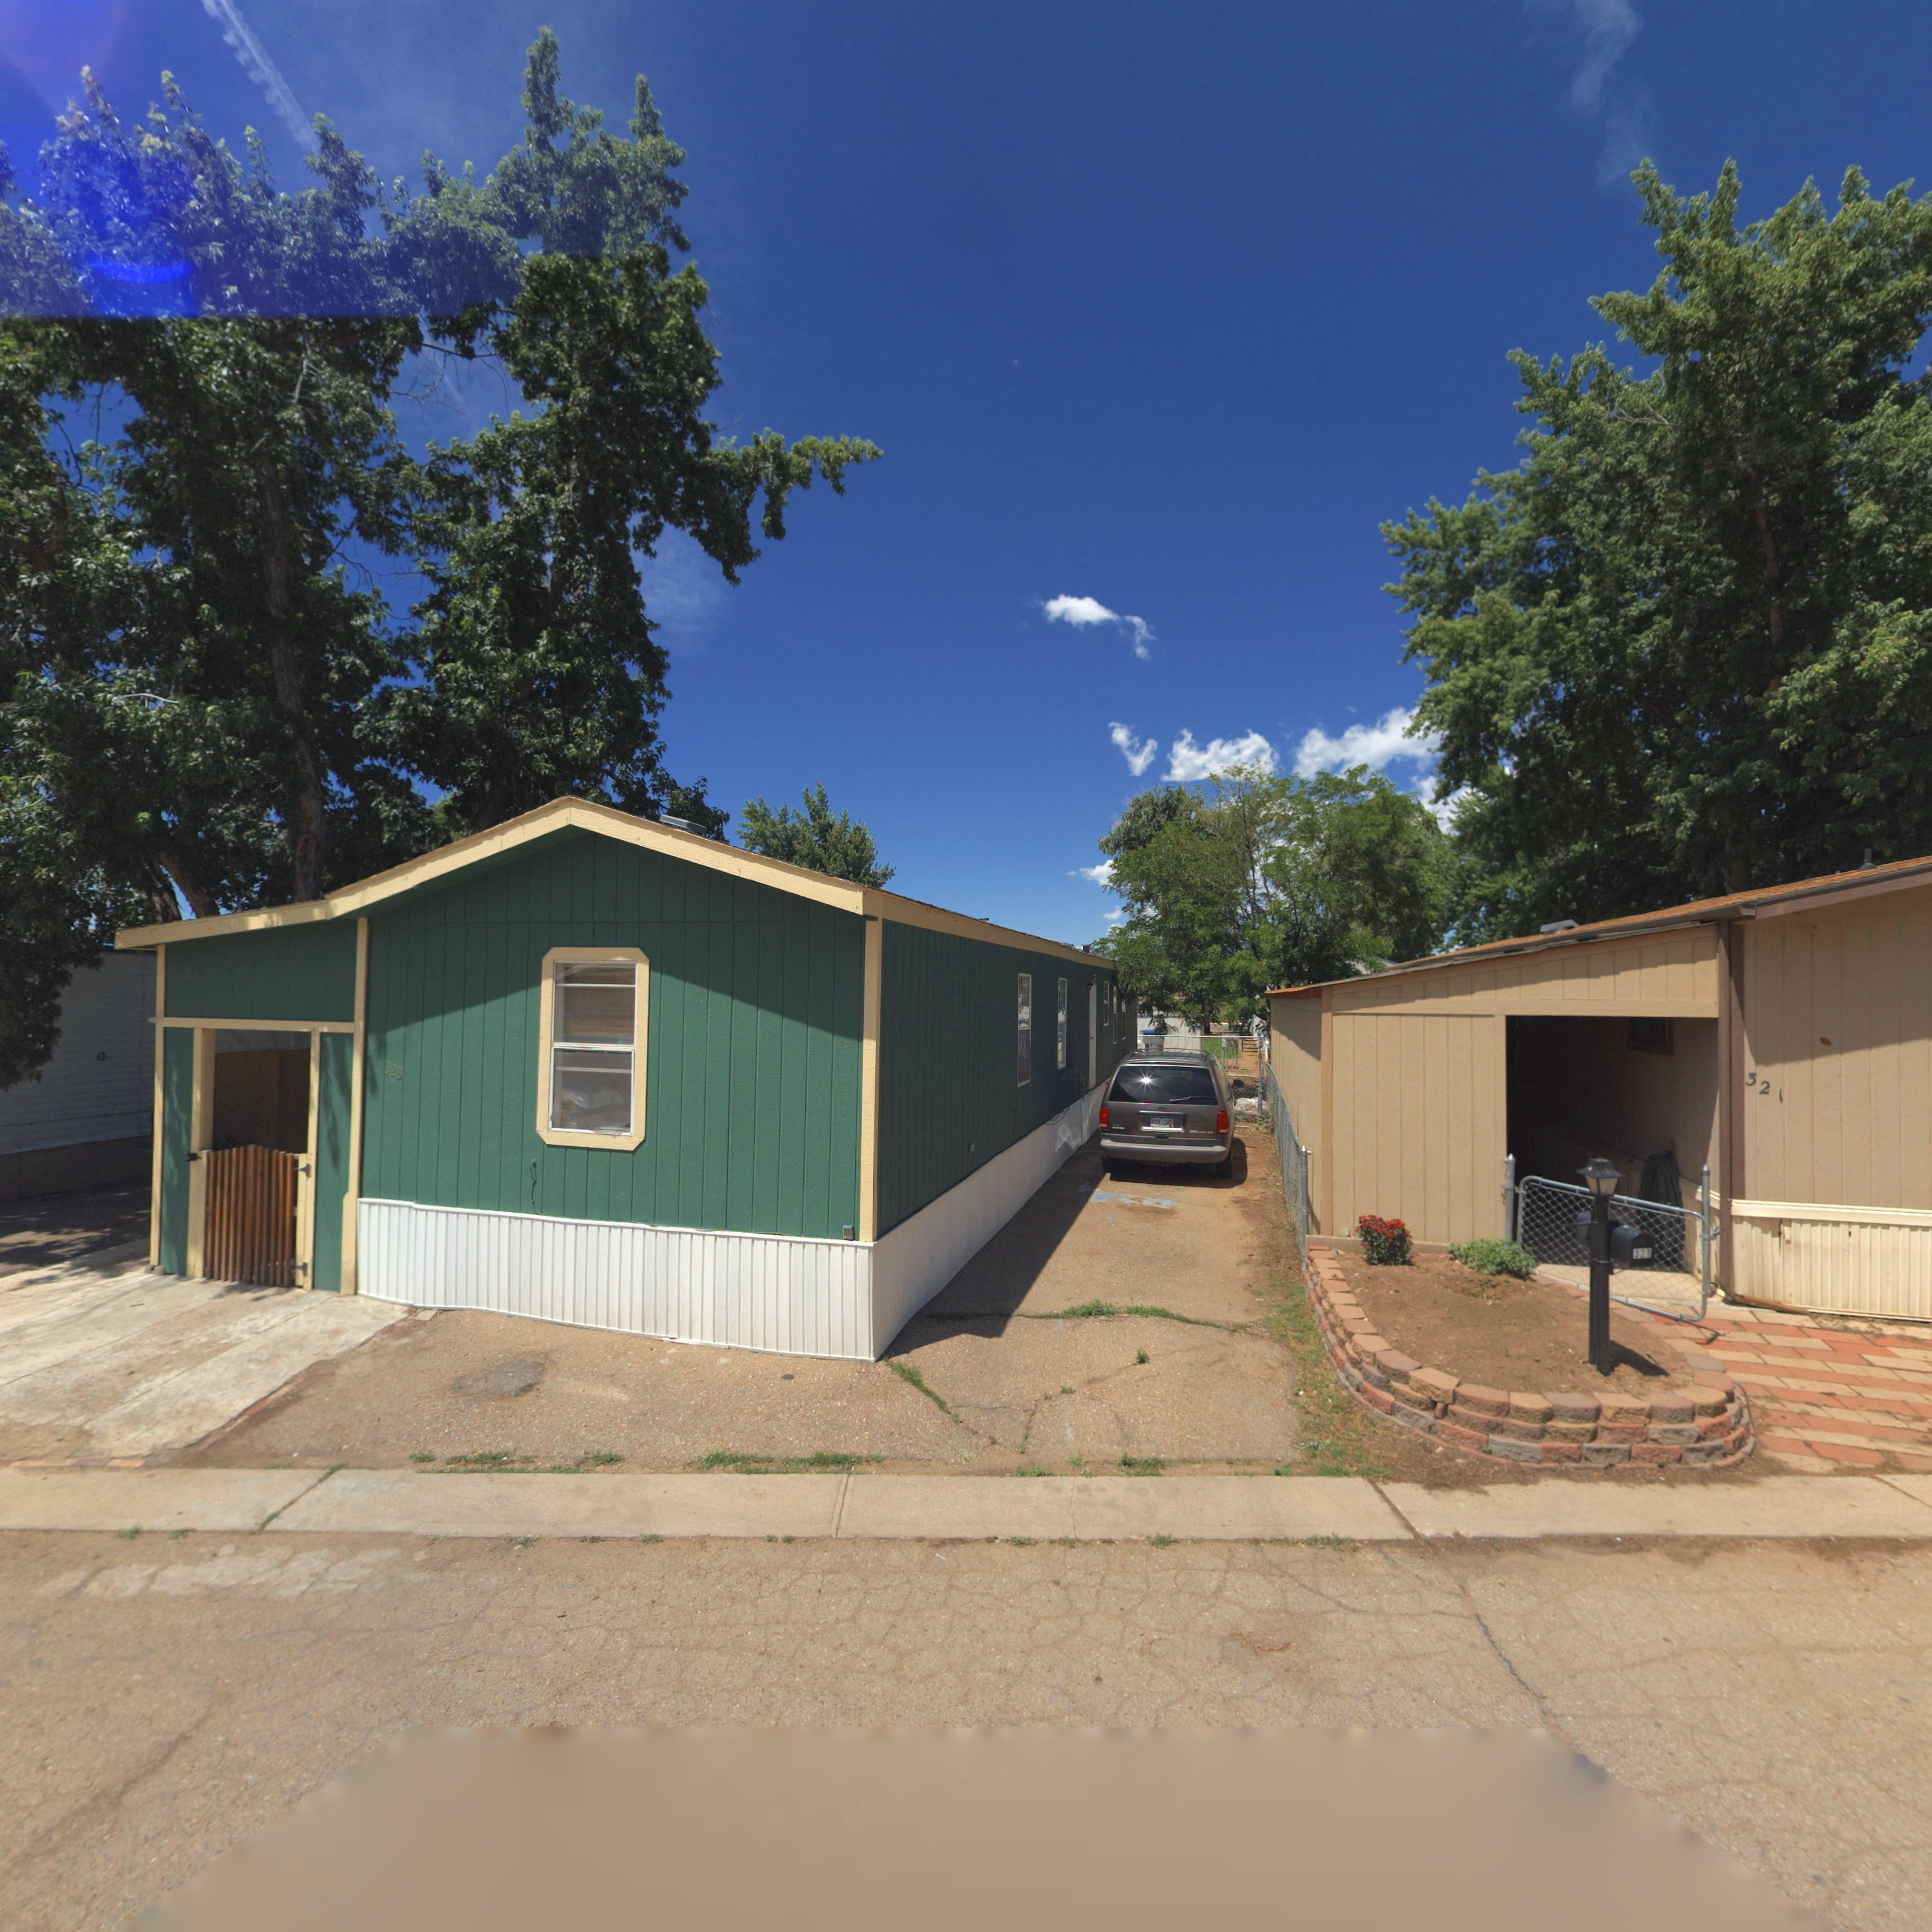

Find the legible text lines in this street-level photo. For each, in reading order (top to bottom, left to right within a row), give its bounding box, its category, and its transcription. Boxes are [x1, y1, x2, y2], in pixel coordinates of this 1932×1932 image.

[383, 1061, 404, 1081] StreetNumber: 323
[1744, 1071, 1782, 1102] StreetNumber: 321
[1633, 1248, 1650, 1257] StreetNumber: 321